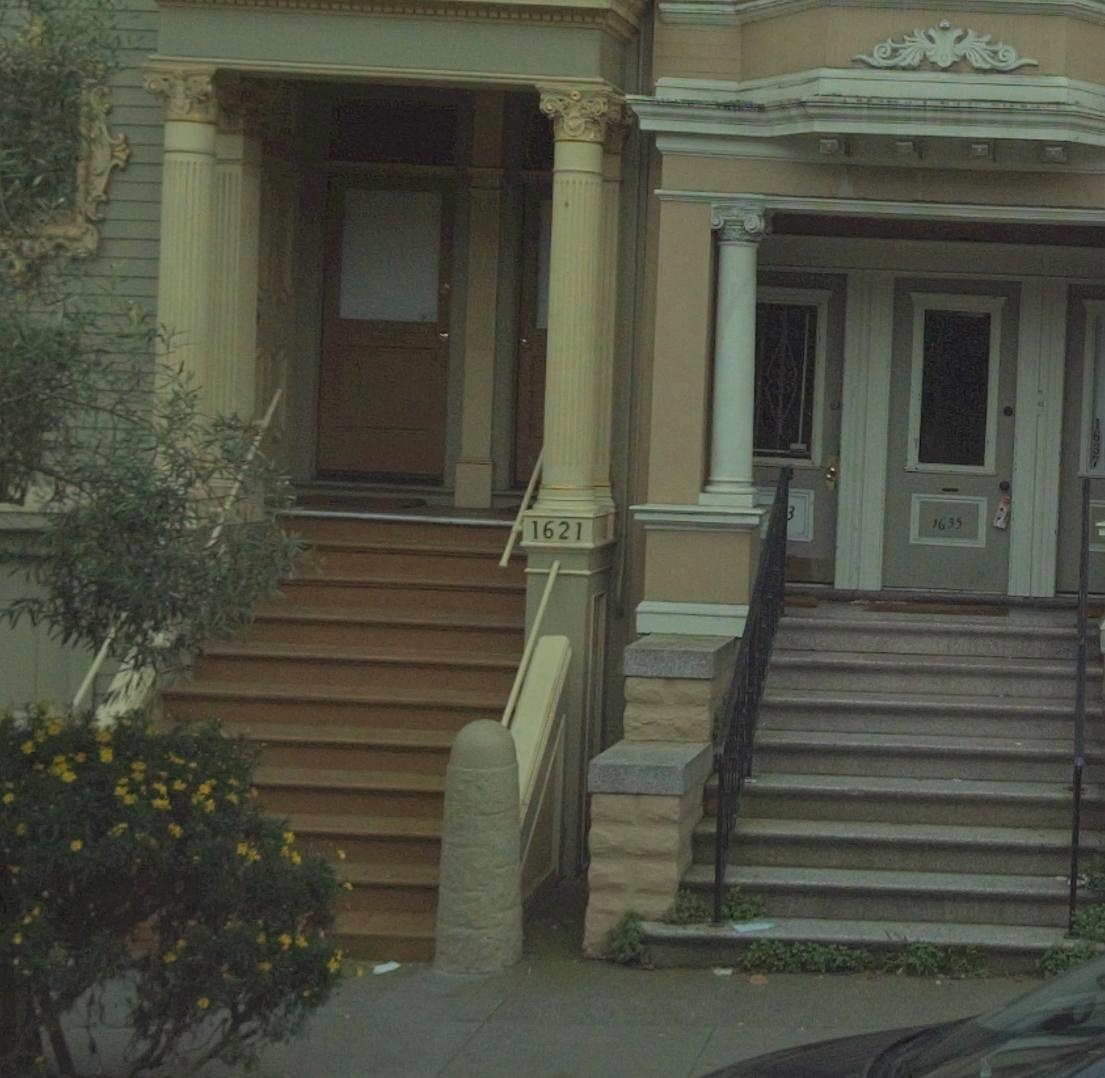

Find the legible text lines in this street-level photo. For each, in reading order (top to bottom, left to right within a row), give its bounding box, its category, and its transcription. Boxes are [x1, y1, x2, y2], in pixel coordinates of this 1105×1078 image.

[1092, 417, 1101, 468] StreetNumber: 1637
[531, 520, 583, 541] StreetNumber: 1621
[786, 504, 796, 522] StreetNumber: 3
[931, 516, 964, 531] StreetNumber: 1635